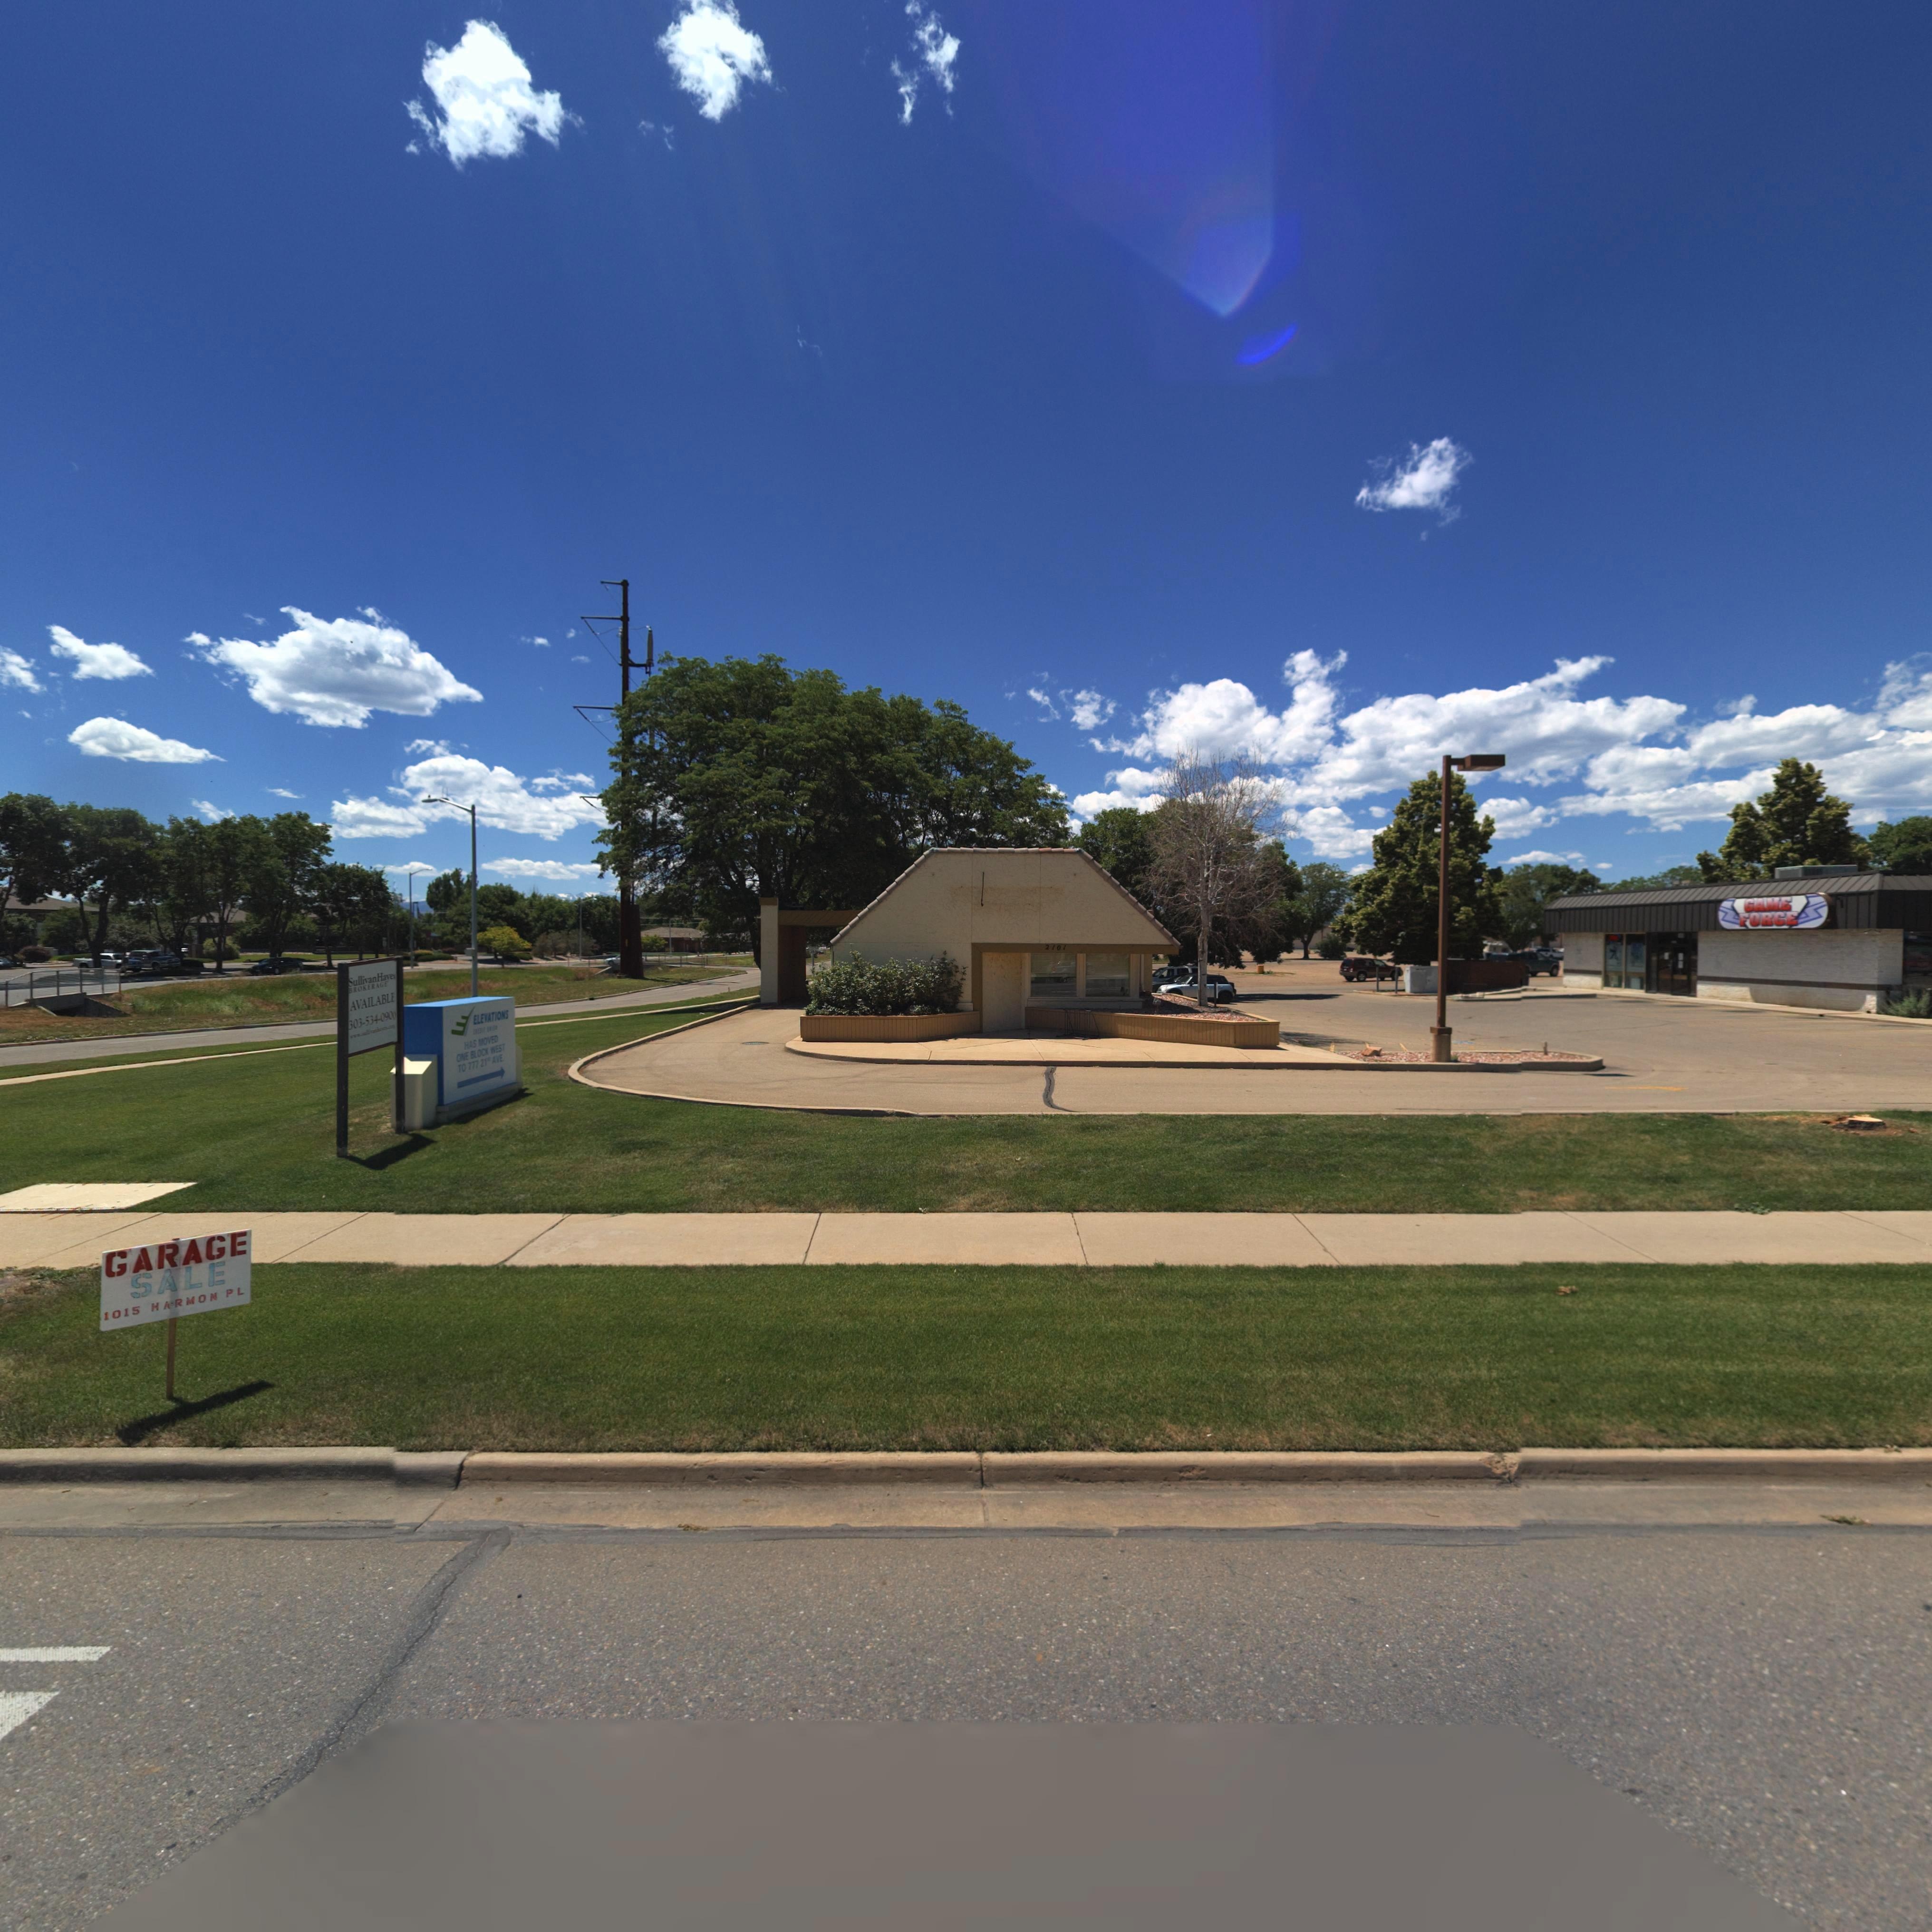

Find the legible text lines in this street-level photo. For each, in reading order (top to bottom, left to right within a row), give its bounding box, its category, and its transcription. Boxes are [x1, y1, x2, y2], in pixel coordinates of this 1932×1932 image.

[1743, 897, 1792, 912] BusinessName: GAME
[1738, 911, 1799, 927] BusinessName: FORCE
[1045, 944, 1066, 950] StreetNumber: 2101